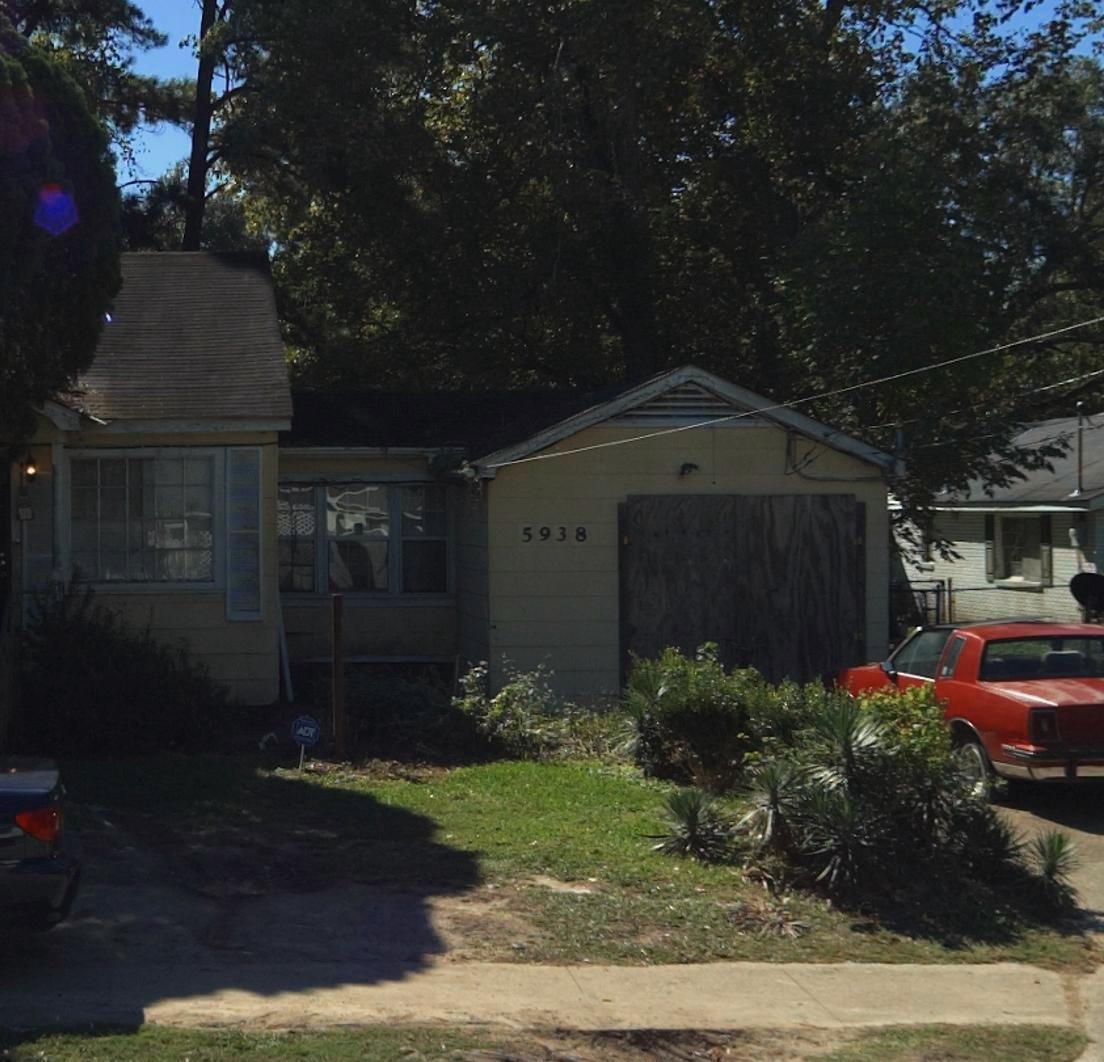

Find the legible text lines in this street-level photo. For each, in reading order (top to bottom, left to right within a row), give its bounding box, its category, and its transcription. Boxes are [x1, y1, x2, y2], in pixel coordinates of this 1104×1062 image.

[521, 525, 587, 543] StreetNumber: 5938
[293, 724, 317, 739] None: ADT